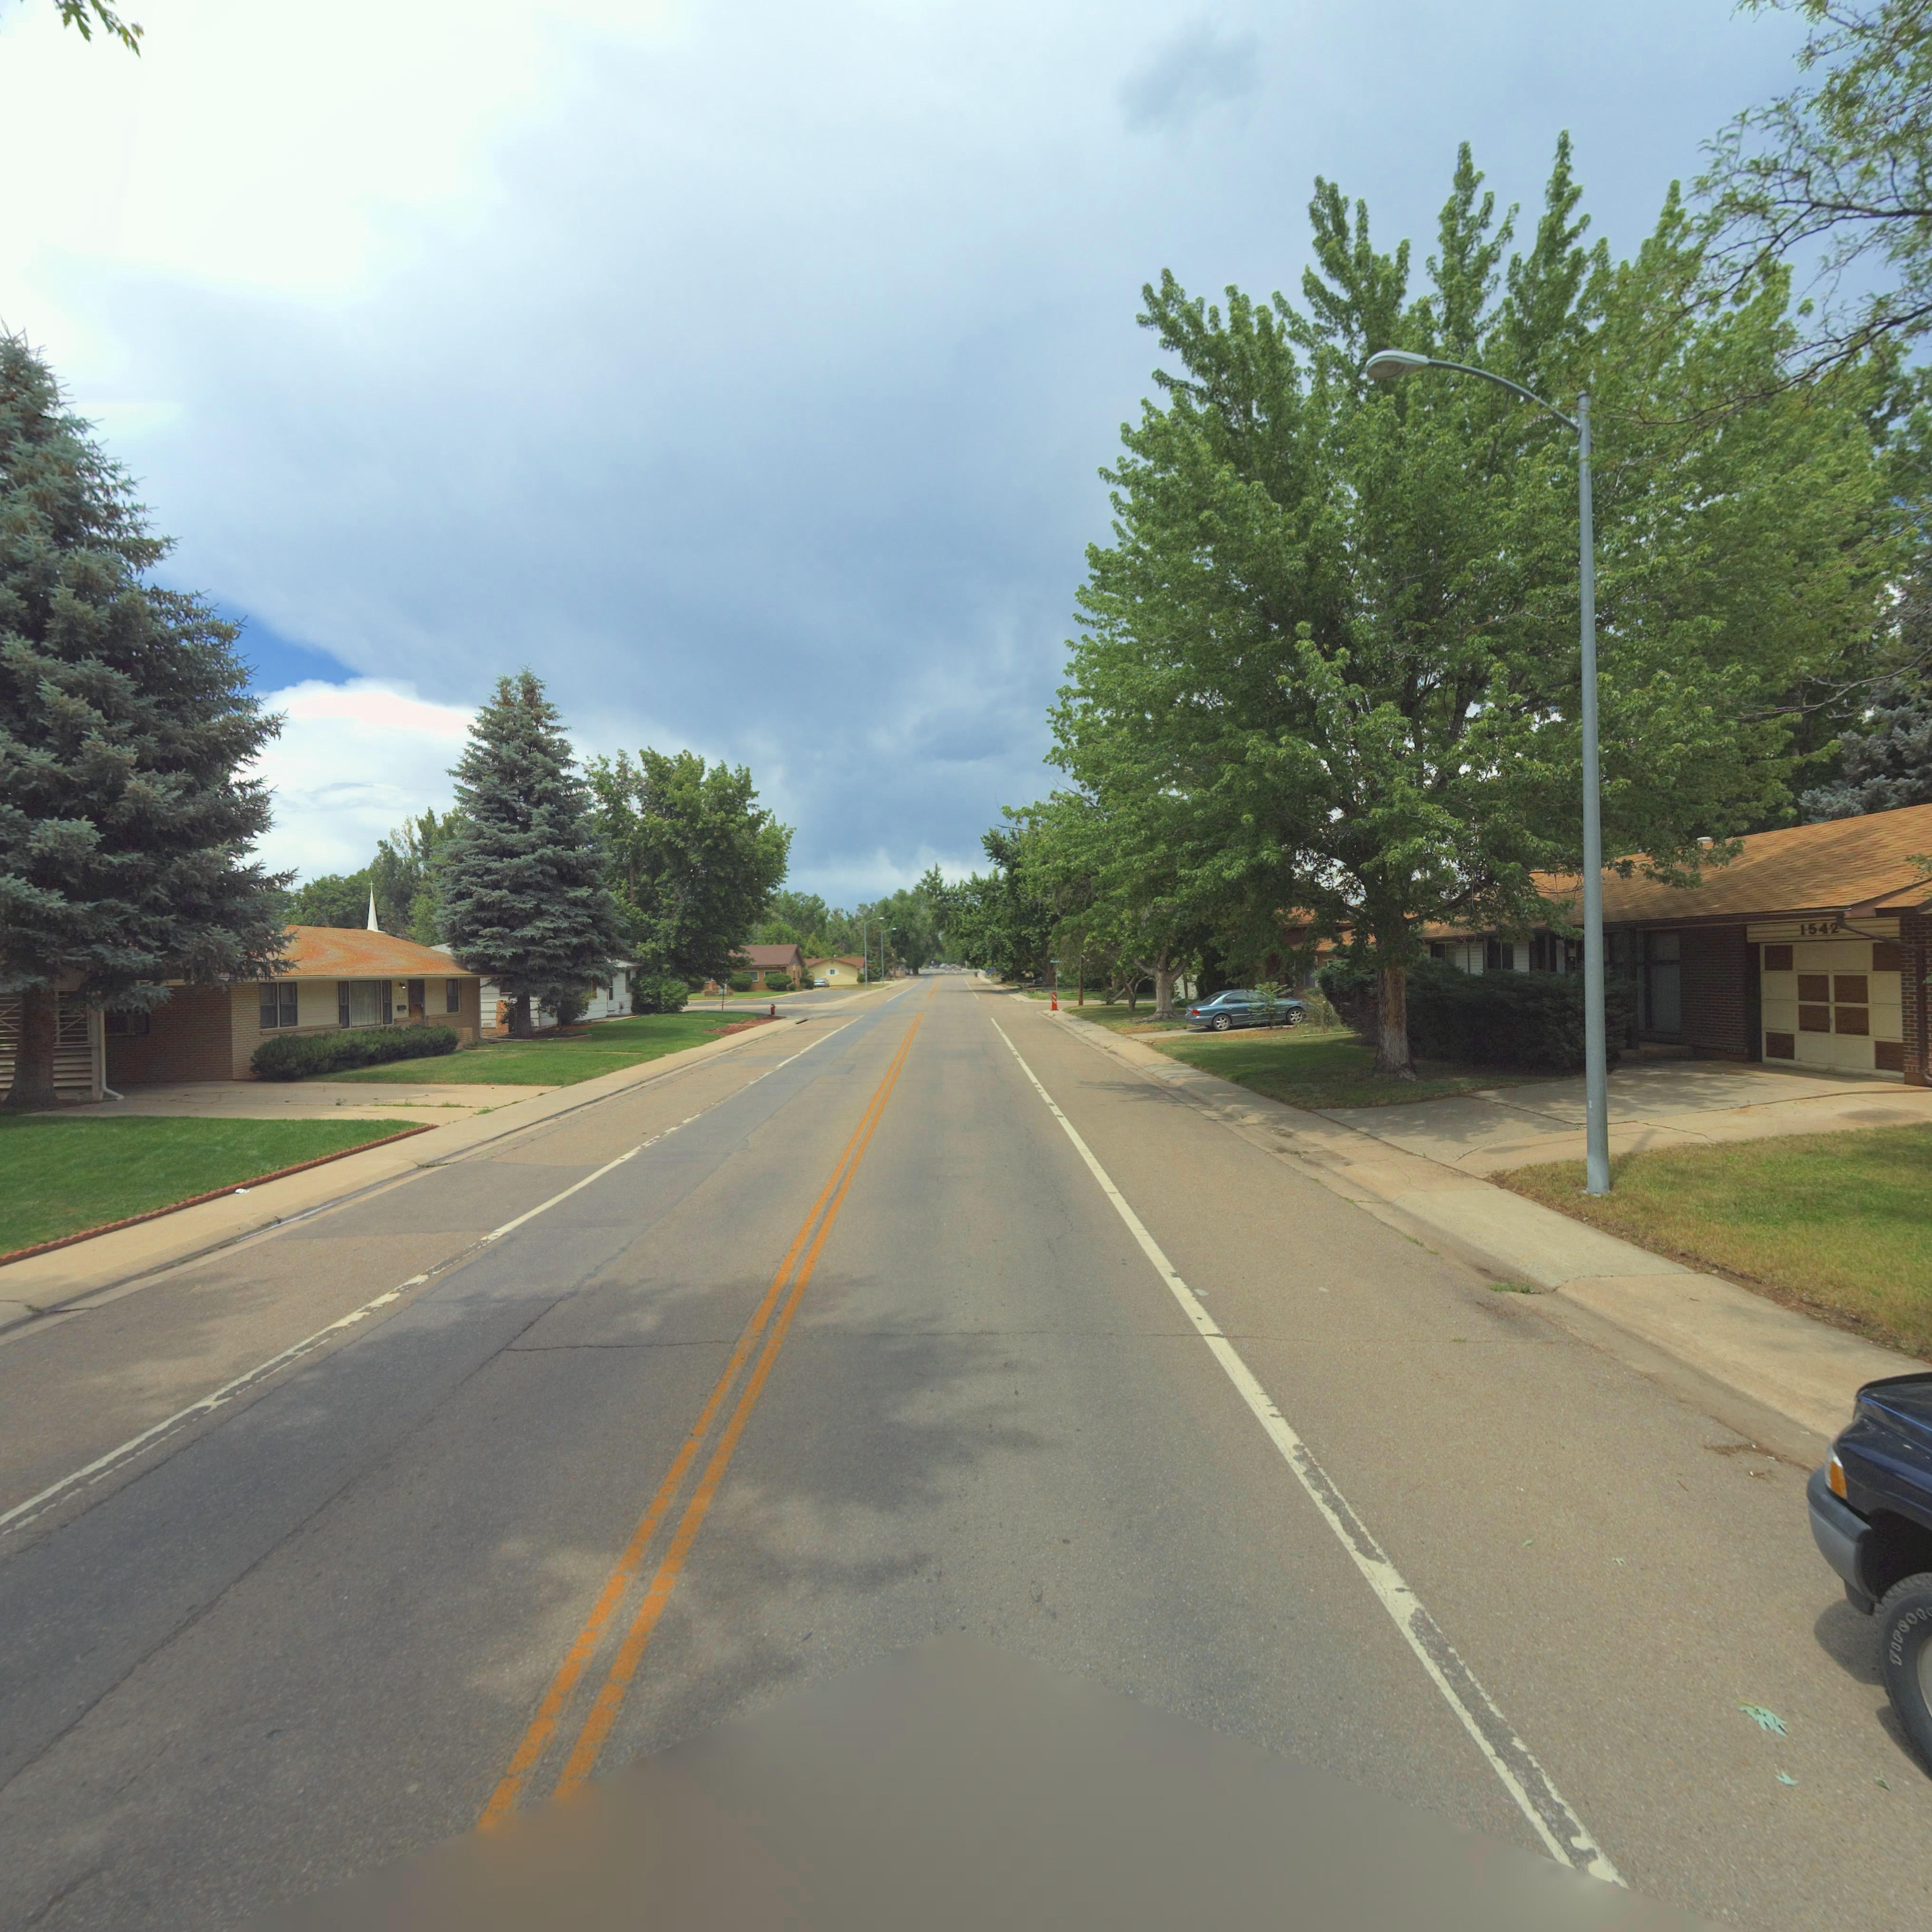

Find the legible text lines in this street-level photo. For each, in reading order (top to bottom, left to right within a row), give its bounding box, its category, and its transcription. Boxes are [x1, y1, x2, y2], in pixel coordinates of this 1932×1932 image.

[1799, 922, 1840, 936] StreetNumber: 1542
[395, 996, 406, 1000] StreetNumber: 1**9